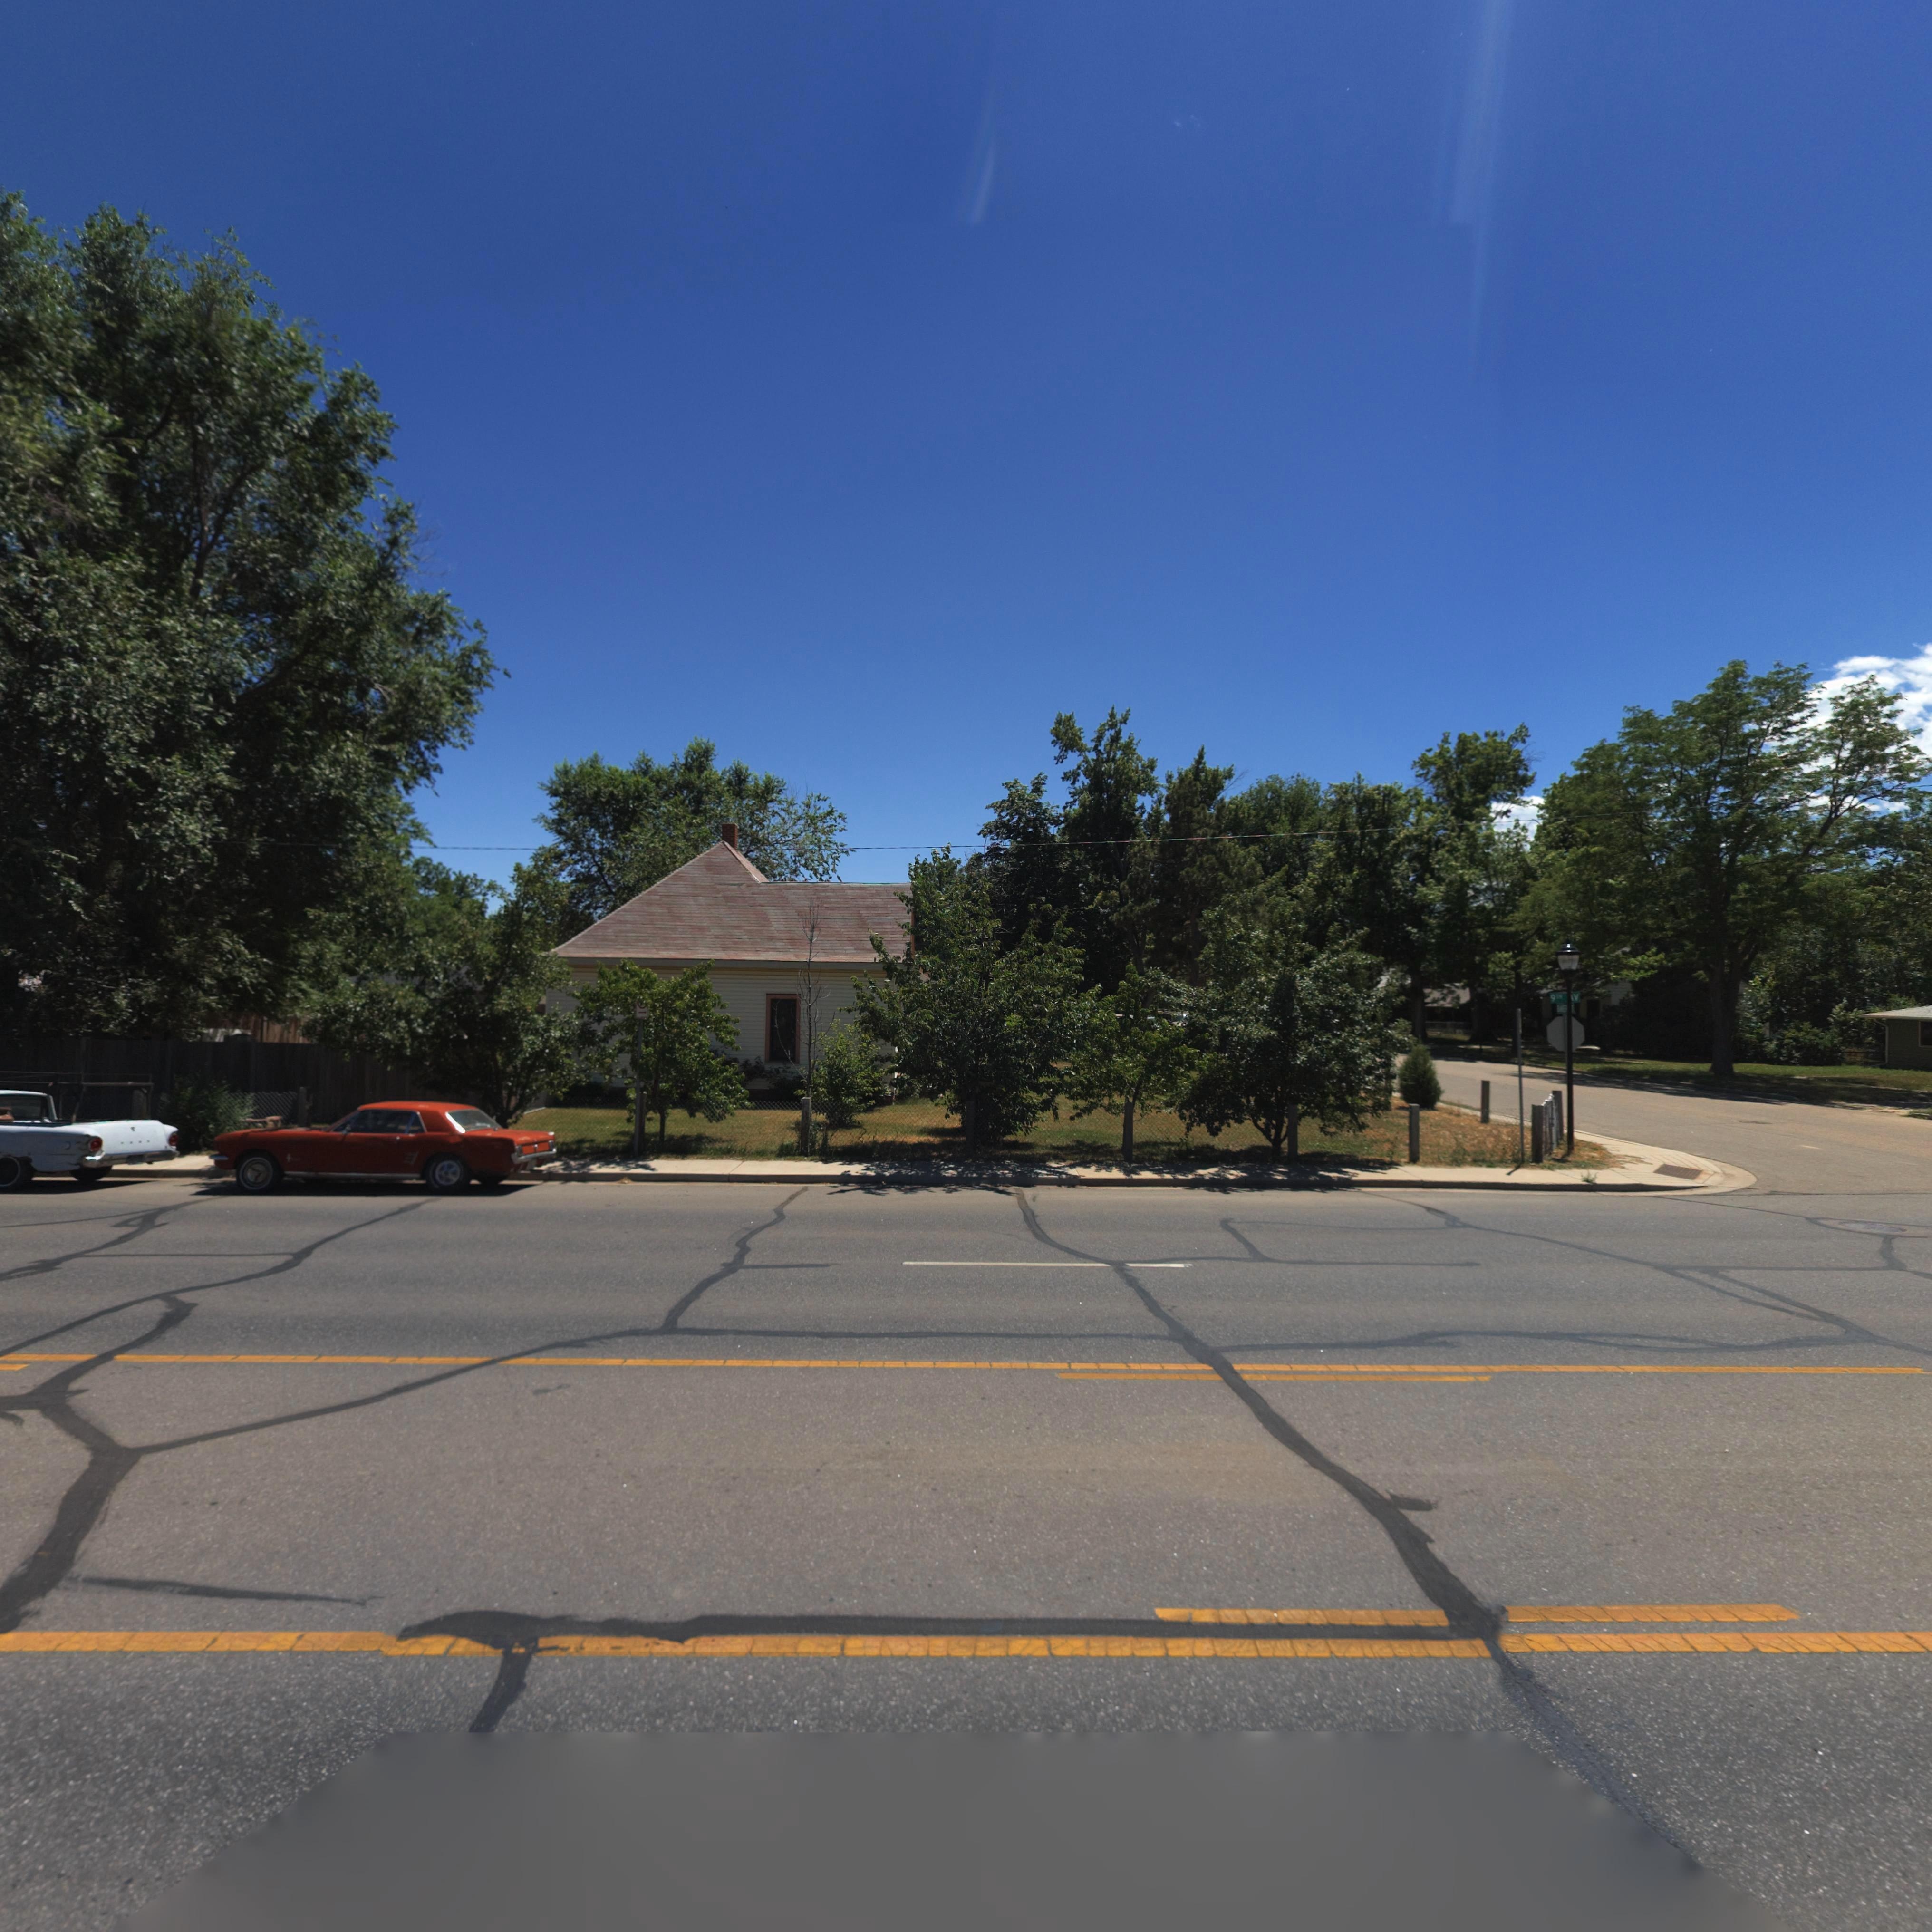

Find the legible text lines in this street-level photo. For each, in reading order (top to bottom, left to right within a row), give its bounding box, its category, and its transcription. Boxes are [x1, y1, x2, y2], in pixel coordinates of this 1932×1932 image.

[1550, 993, 1578, 1003] StreetName: 9** *V